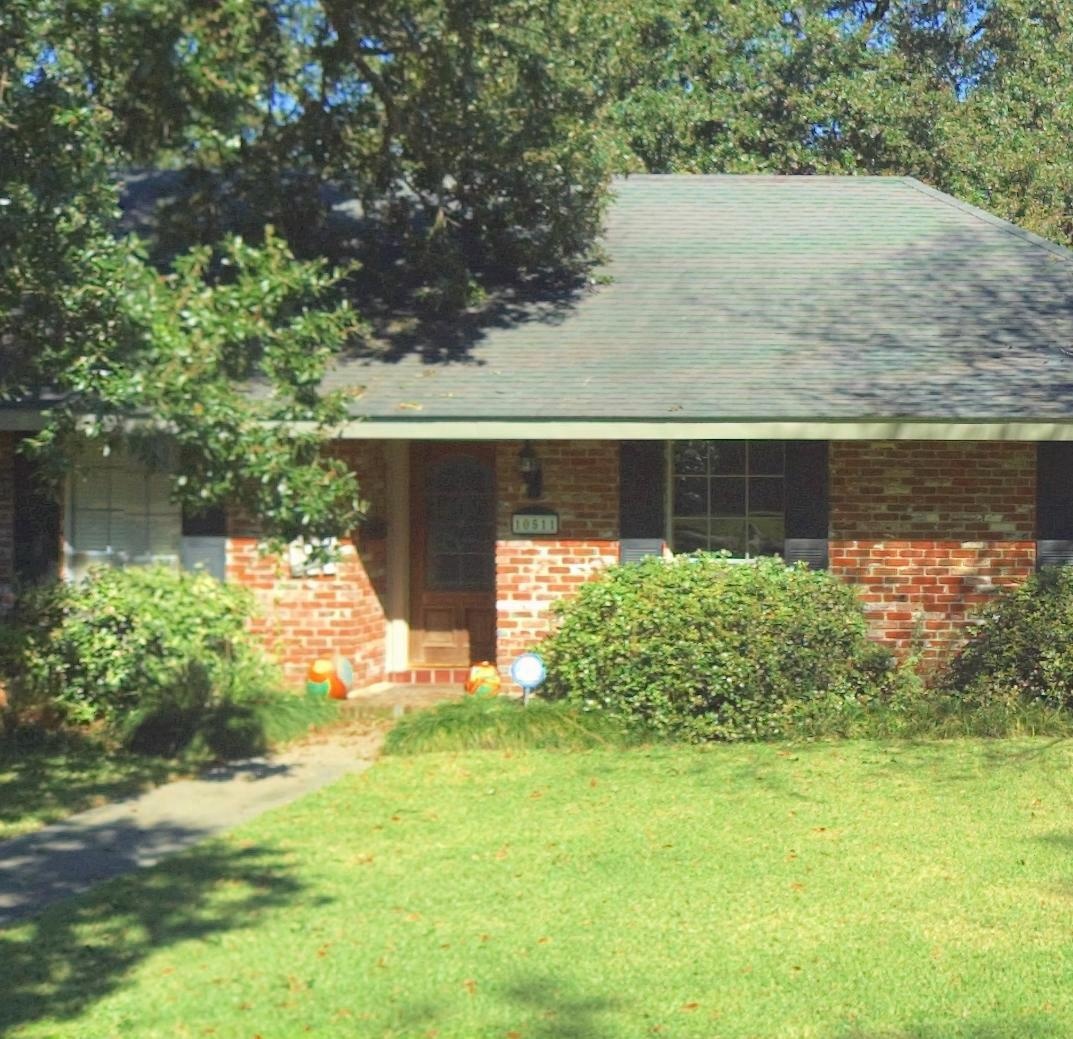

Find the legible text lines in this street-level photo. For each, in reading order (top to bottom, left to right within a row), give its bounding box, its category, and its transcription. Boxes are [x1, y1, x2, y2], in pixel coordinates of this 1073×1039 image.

[513, 516, 556, 532] StreetNumber: 10511